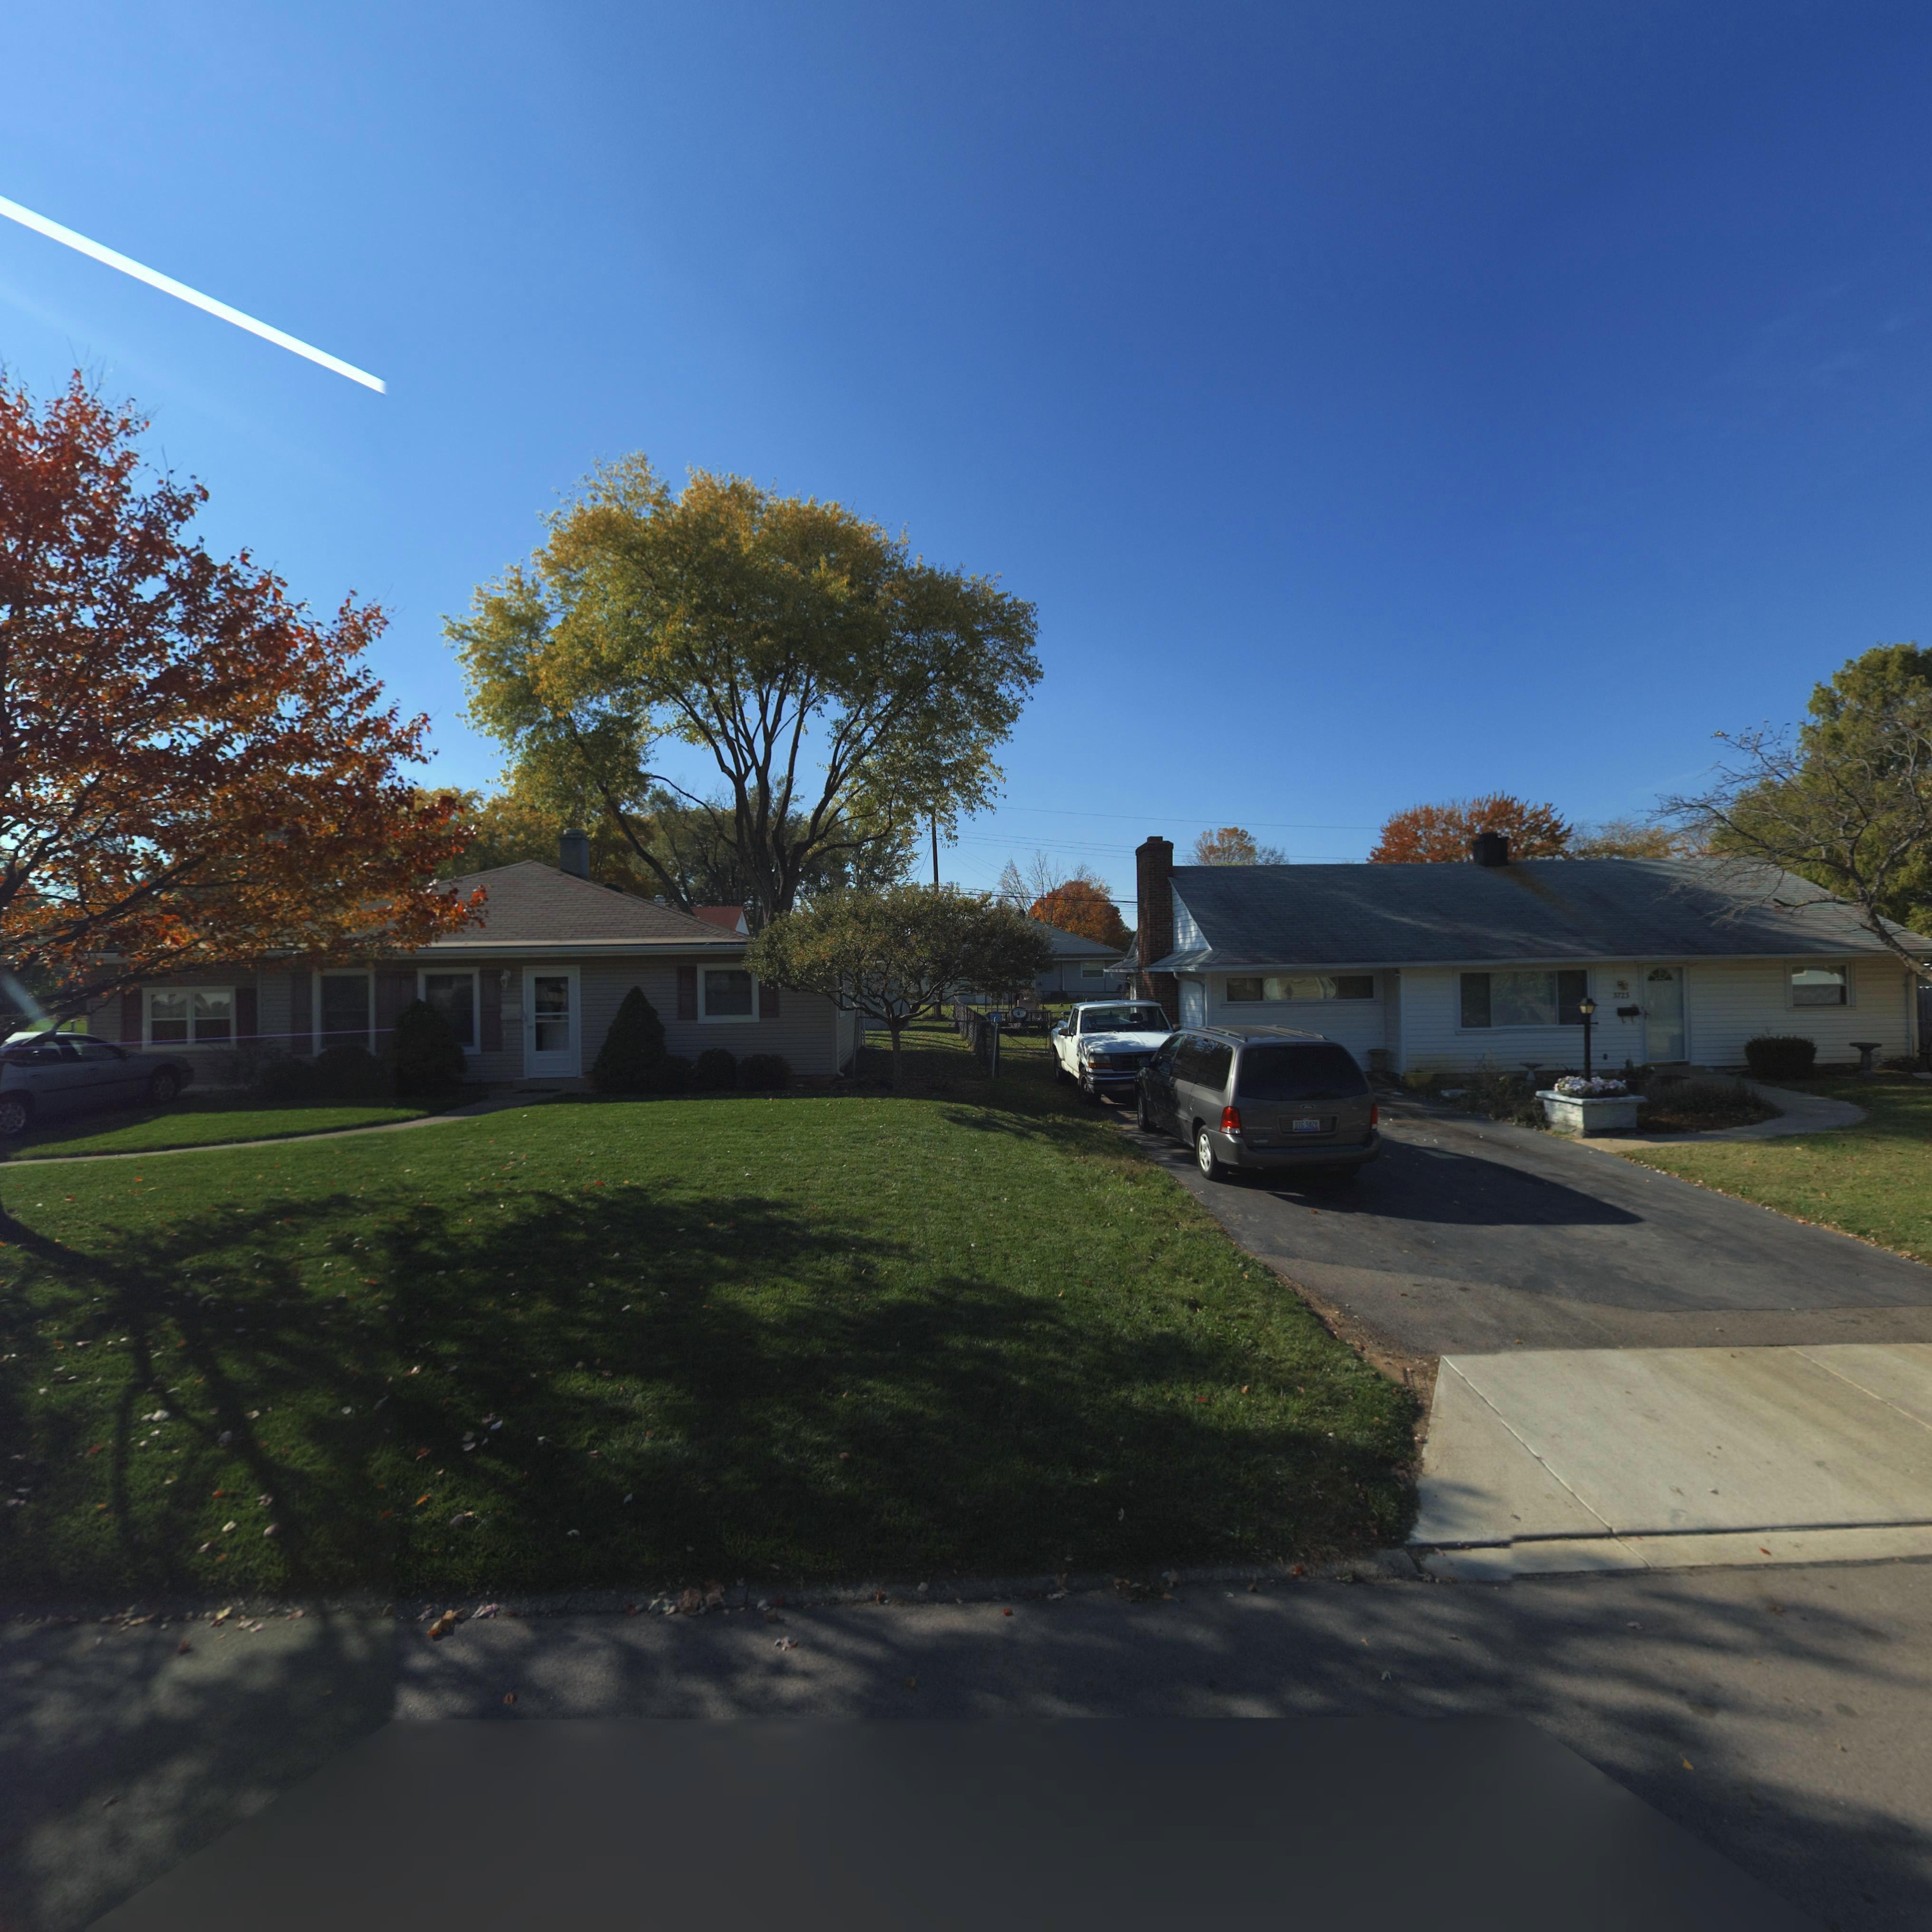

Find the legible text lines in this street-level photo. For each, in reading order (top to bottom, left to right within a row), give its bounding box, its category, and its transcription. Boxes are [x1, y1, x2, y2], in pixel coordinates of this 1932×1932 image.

[1613, 991, 1630, 999] StreetNumber: 3723
[1294, 1121, 1317, 1129] None: DIG 9428